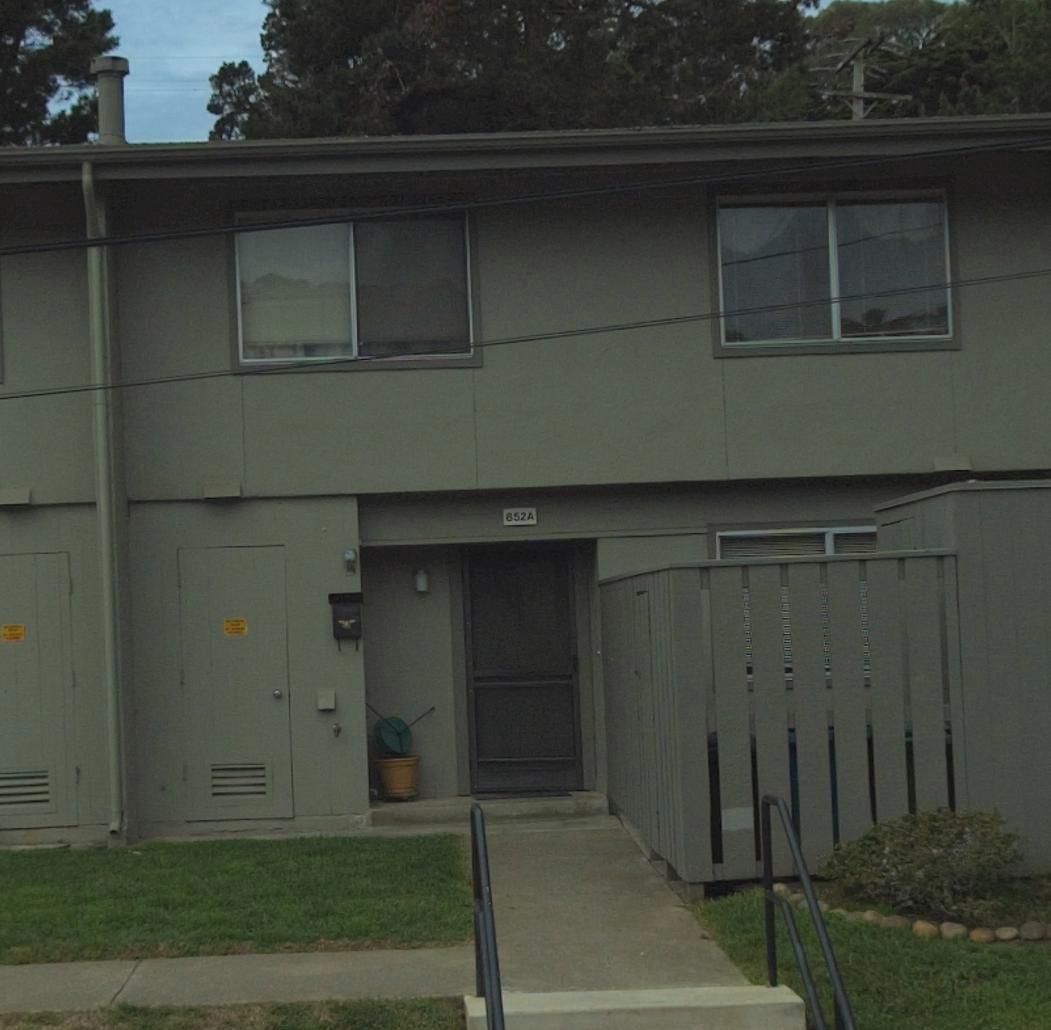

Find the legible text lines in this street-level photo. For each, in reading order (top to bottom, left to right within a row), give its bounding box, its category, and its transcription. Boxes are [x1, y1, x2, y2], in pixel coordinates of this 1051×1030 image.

[505, 511, 535, 522] StreetNumber: 852A